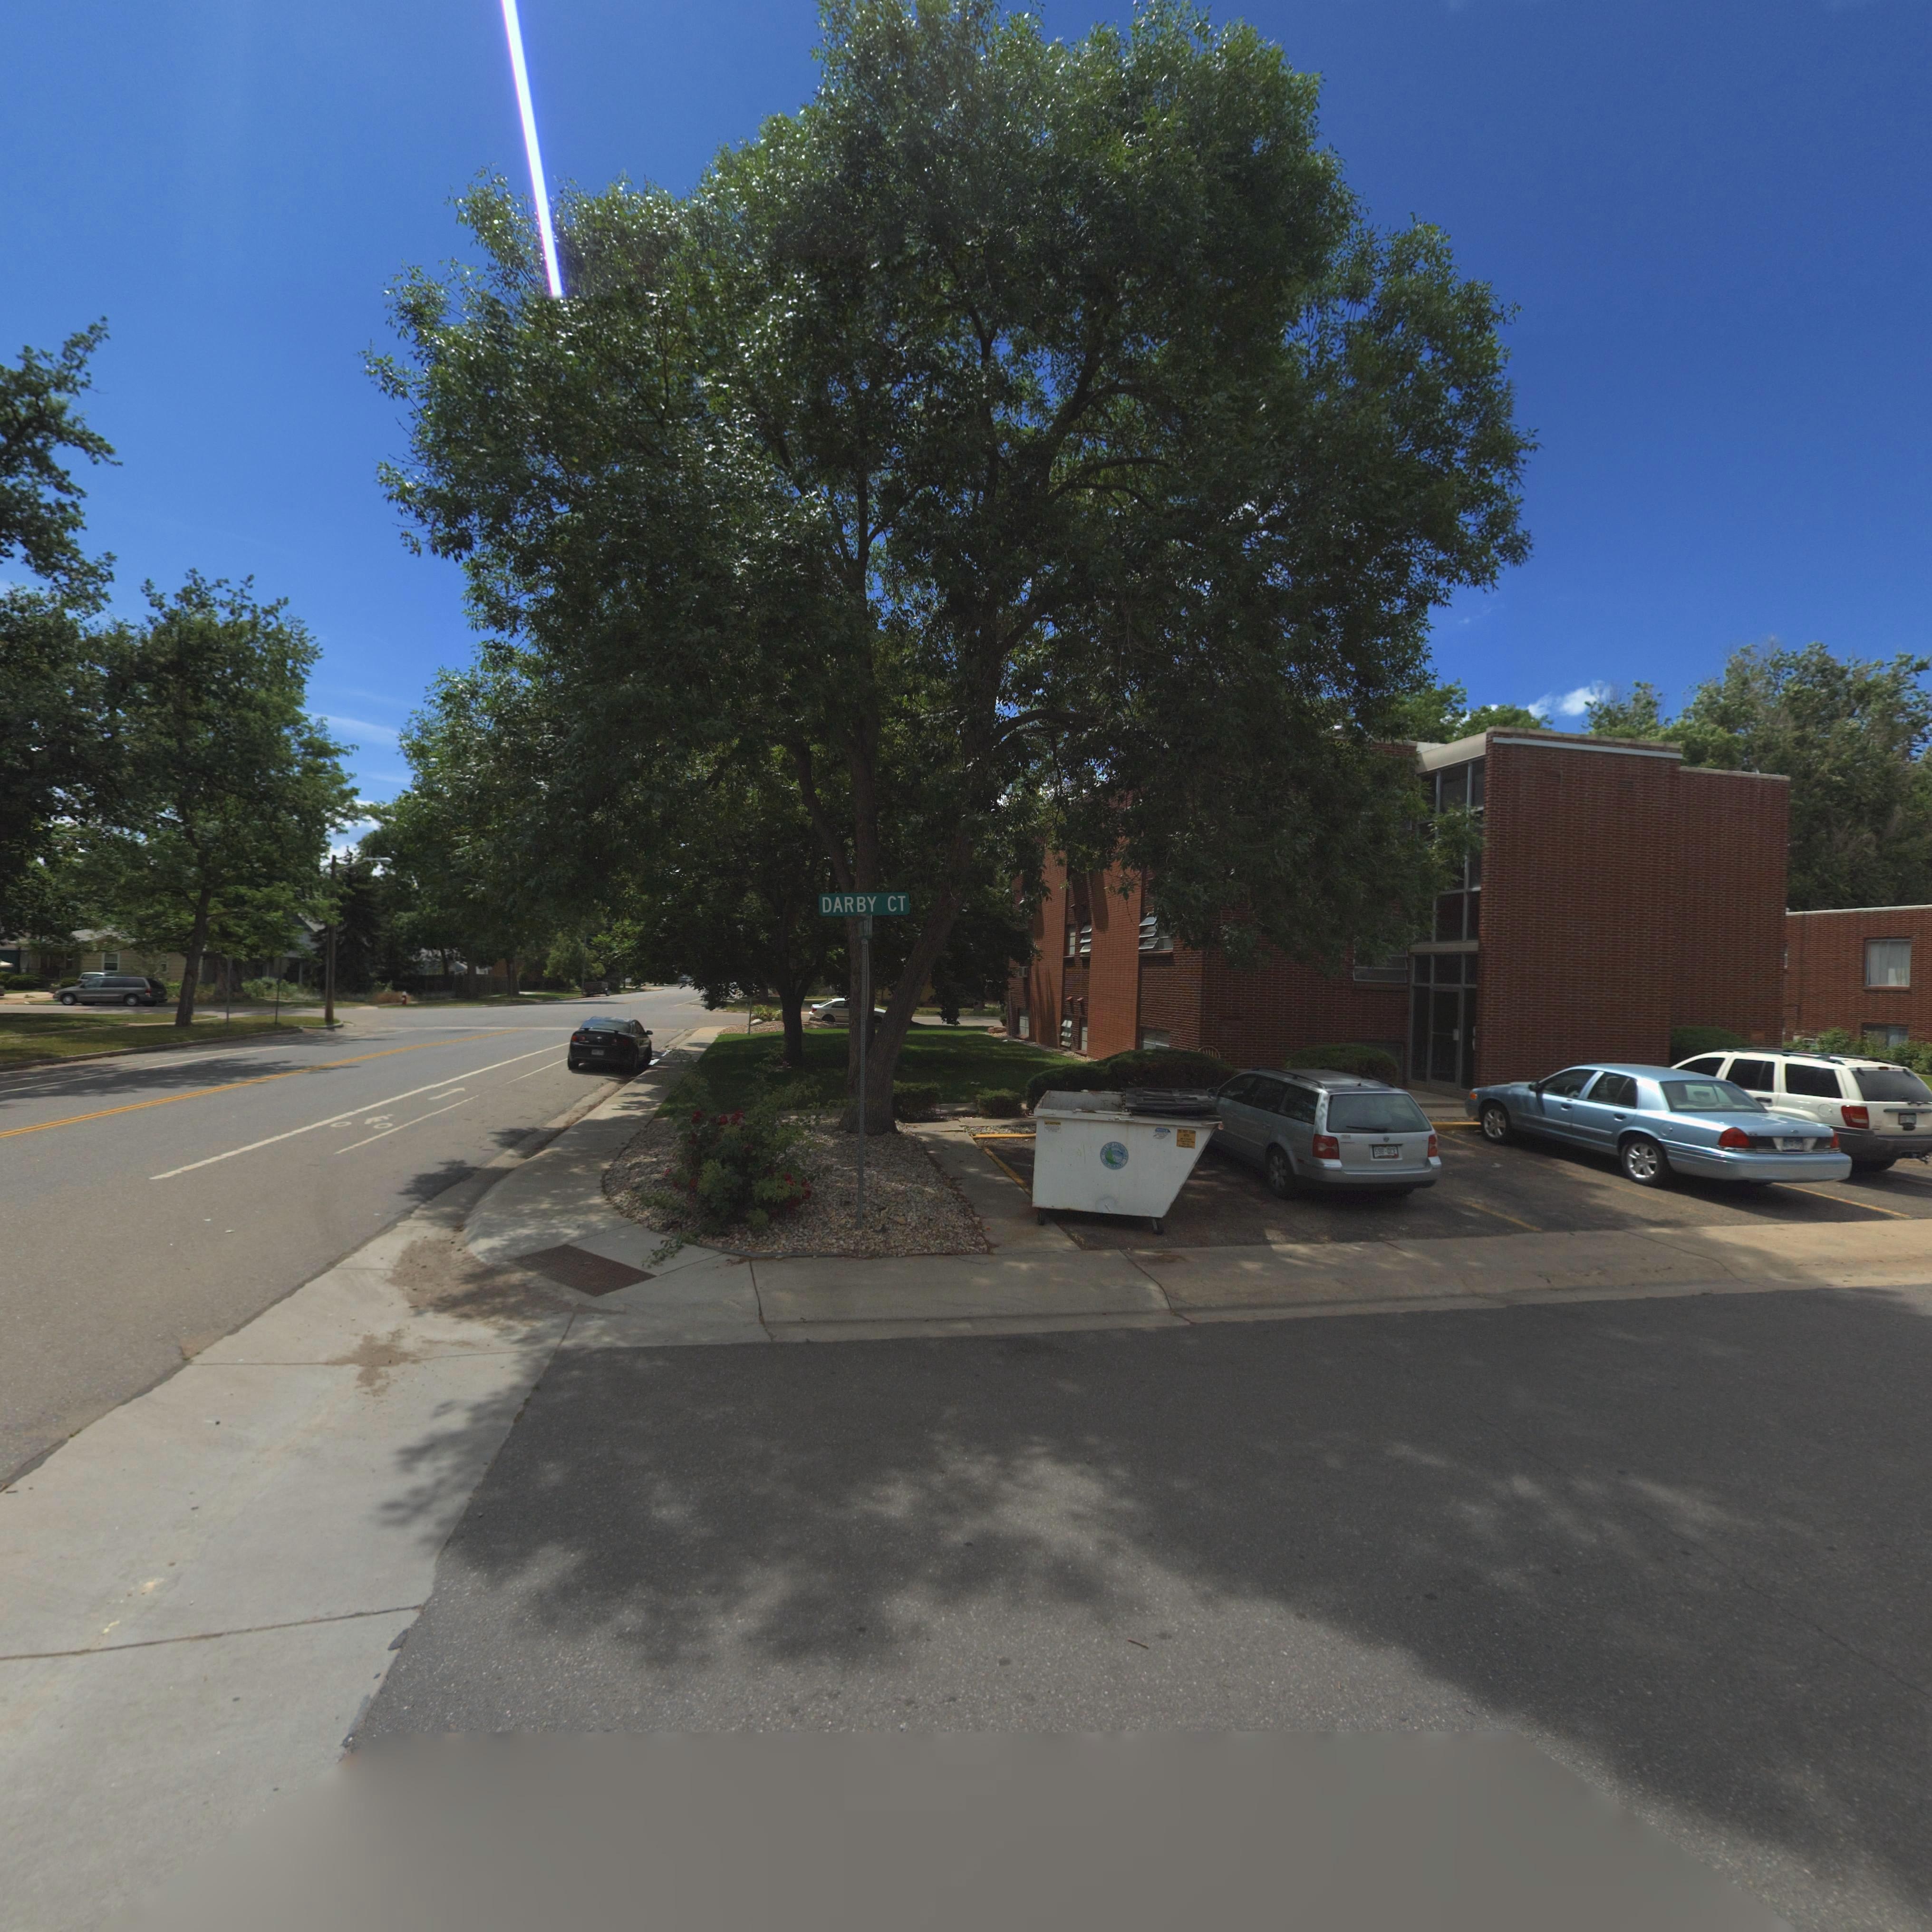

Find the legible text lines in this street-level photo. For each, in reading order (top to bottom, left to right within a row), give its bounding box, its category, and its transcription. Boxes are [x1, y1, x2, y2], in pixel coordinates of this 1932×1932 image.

[821, 895, 906, 914] StreetName: DARBY CT